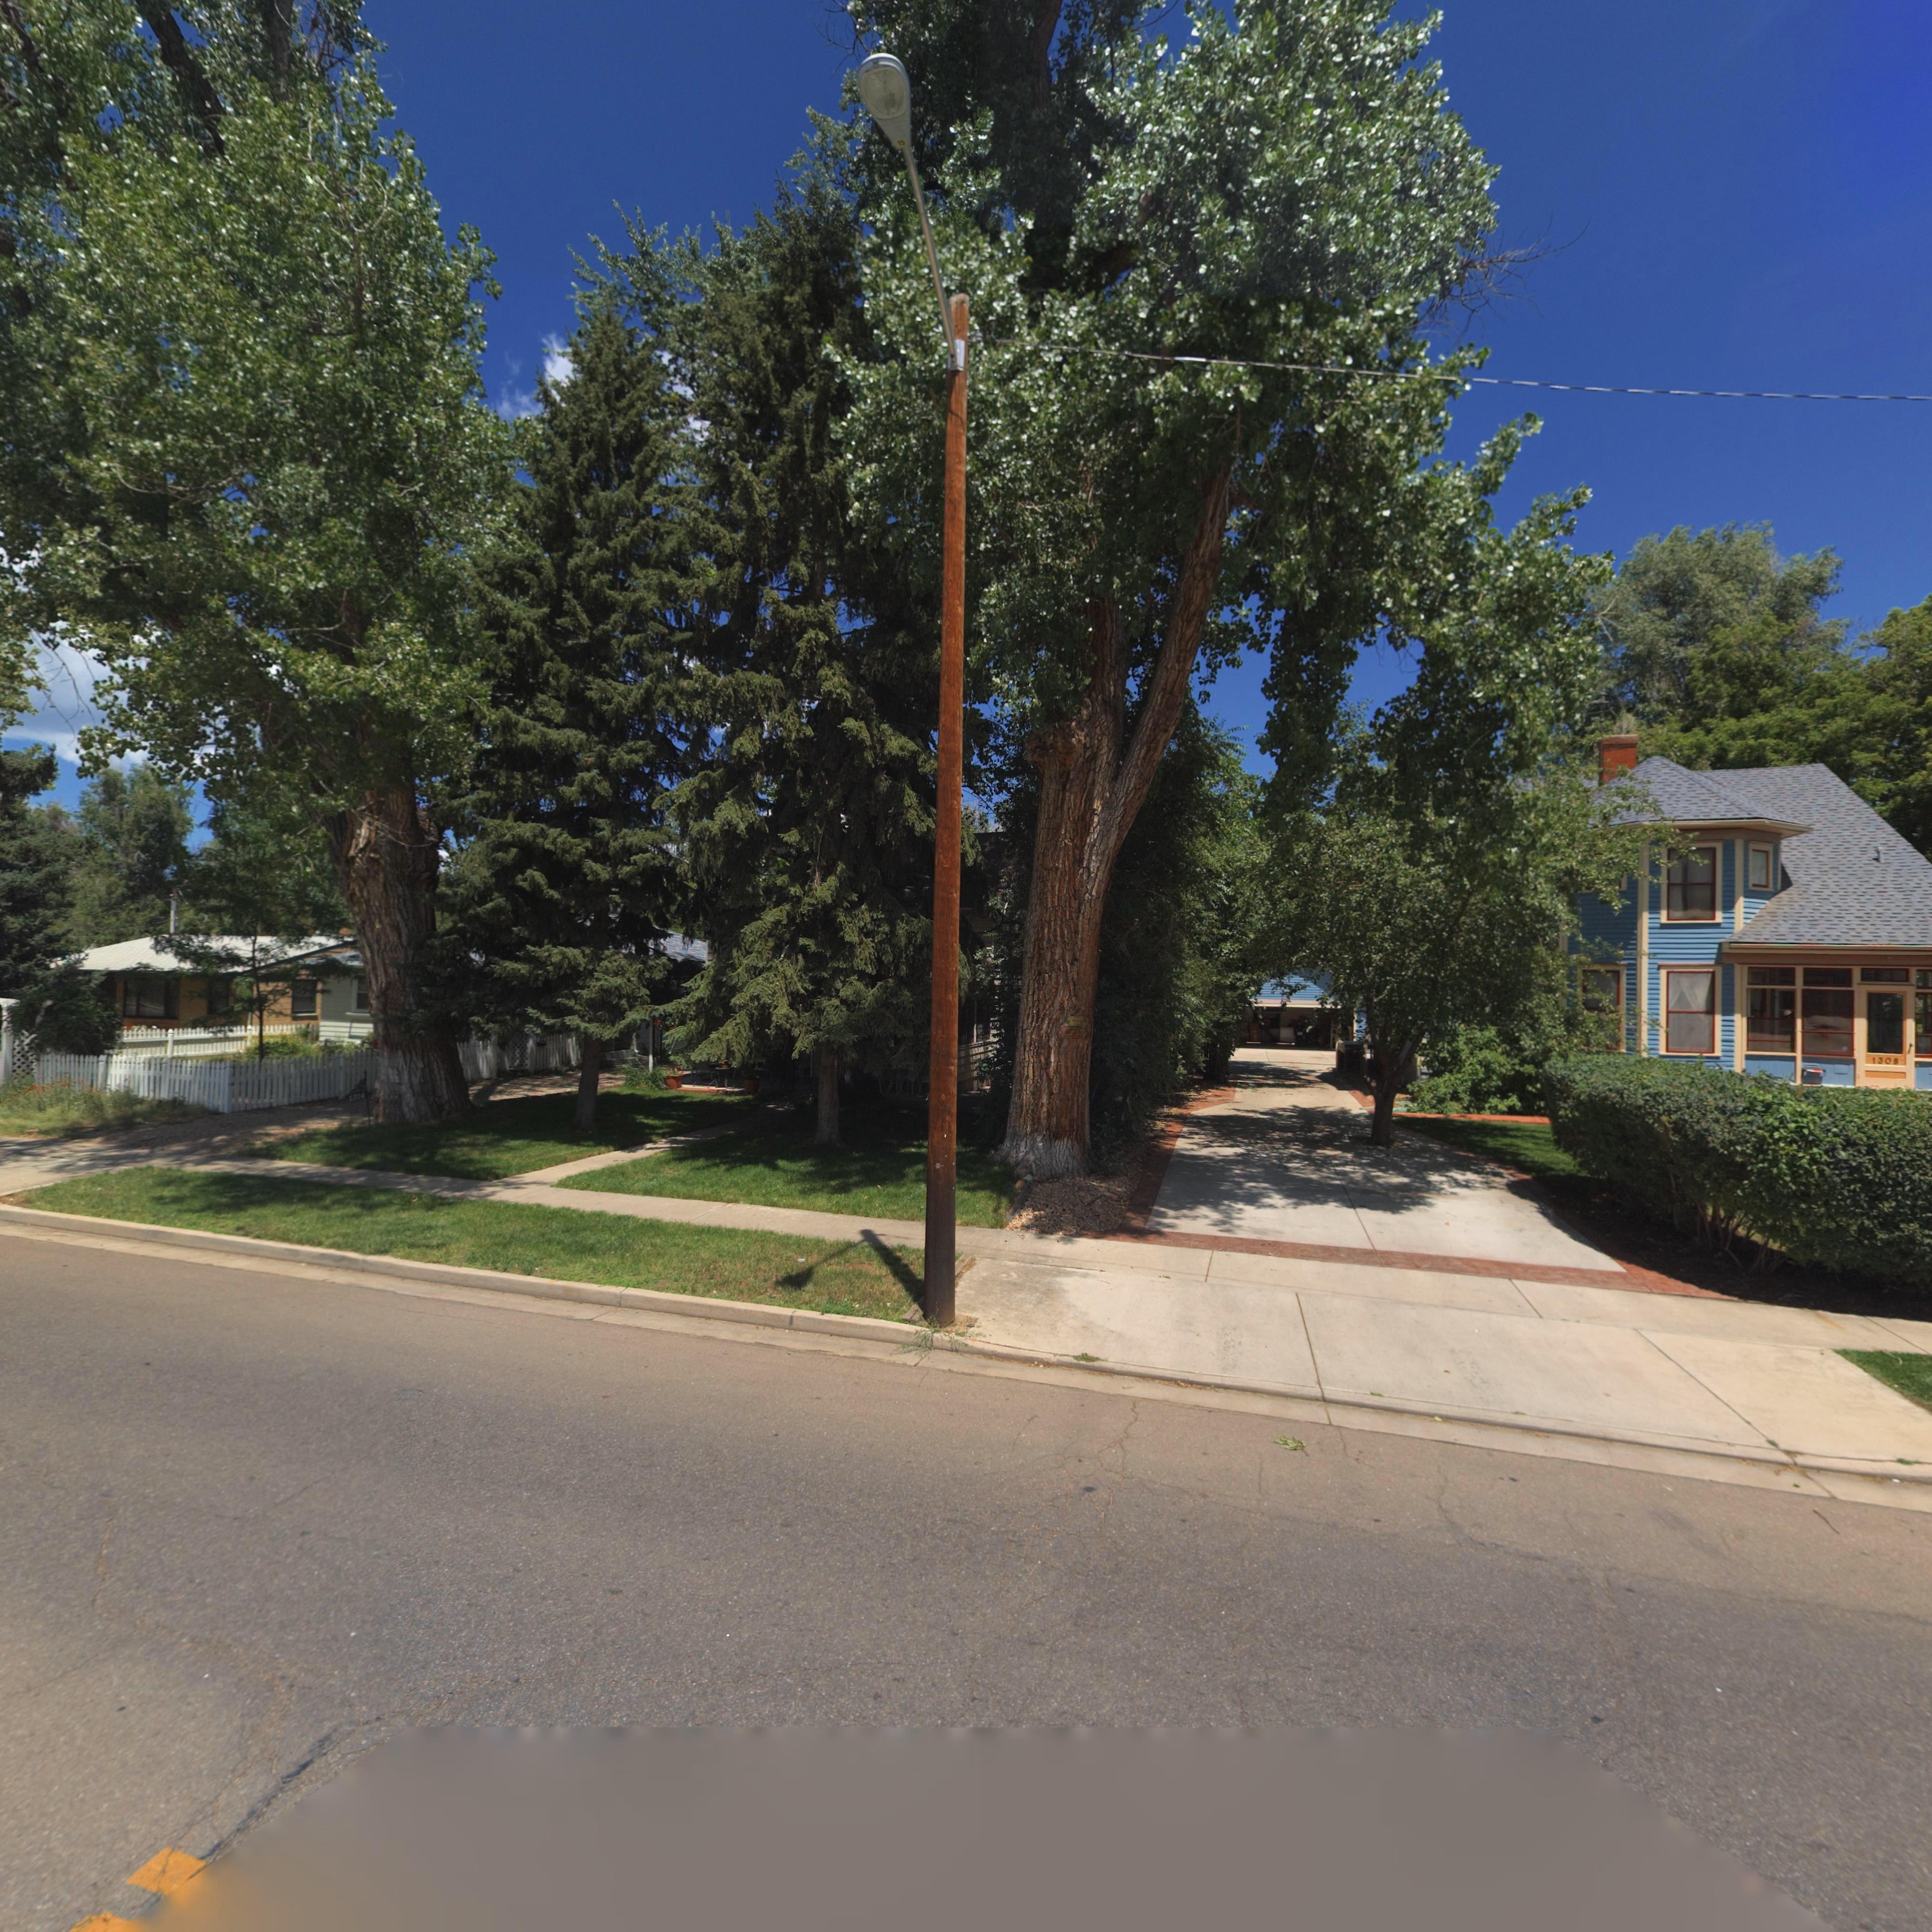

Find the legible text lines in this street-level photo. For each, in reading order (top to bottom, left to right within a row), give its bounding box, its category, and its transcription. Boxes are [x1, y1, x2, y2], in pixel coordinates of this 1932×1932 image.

[1872, 1057, 1898, 1065] StreetNumber: 1308
[349, 1092, 364, 1101] StreetNumber: 131*